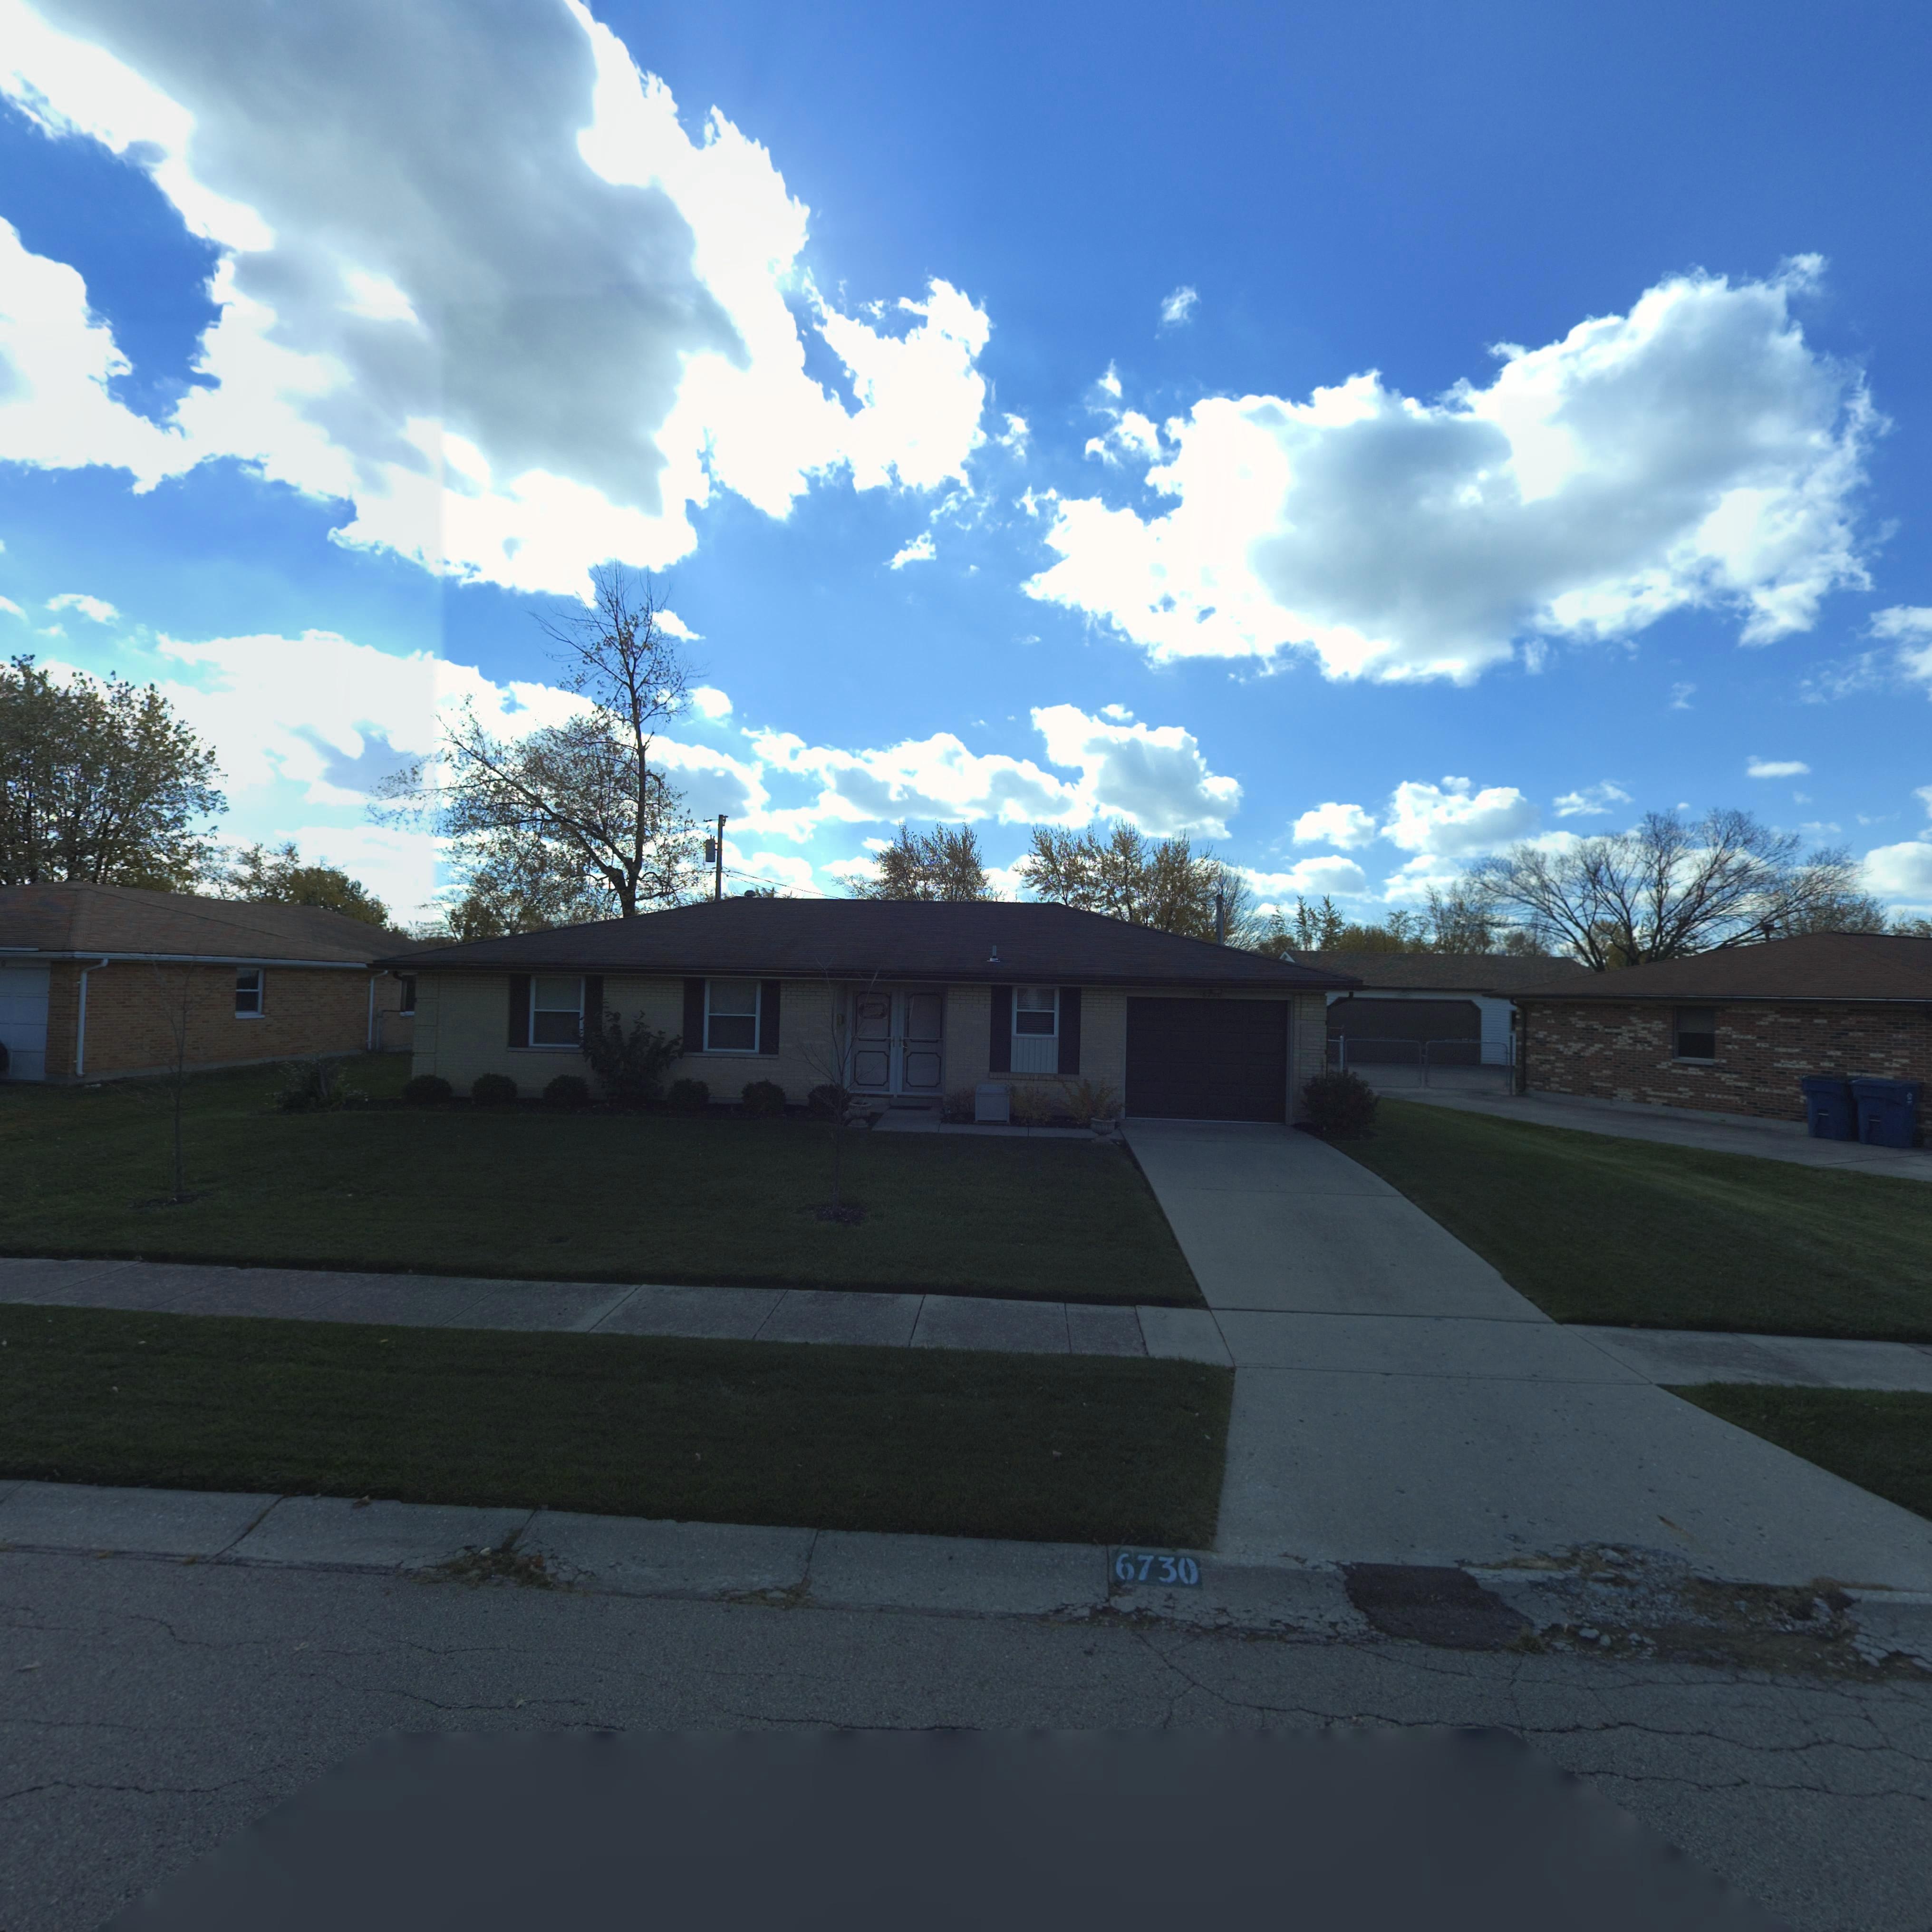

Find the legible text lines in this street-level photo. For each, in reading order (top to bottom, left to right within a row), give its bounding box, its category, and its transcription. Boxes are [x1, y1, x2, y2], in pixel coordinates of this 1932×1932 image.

[1201, 992, 1212, 999] StreetNumber: 67
[1115, 1551, 1200, 1585] StreetNumber: 6730